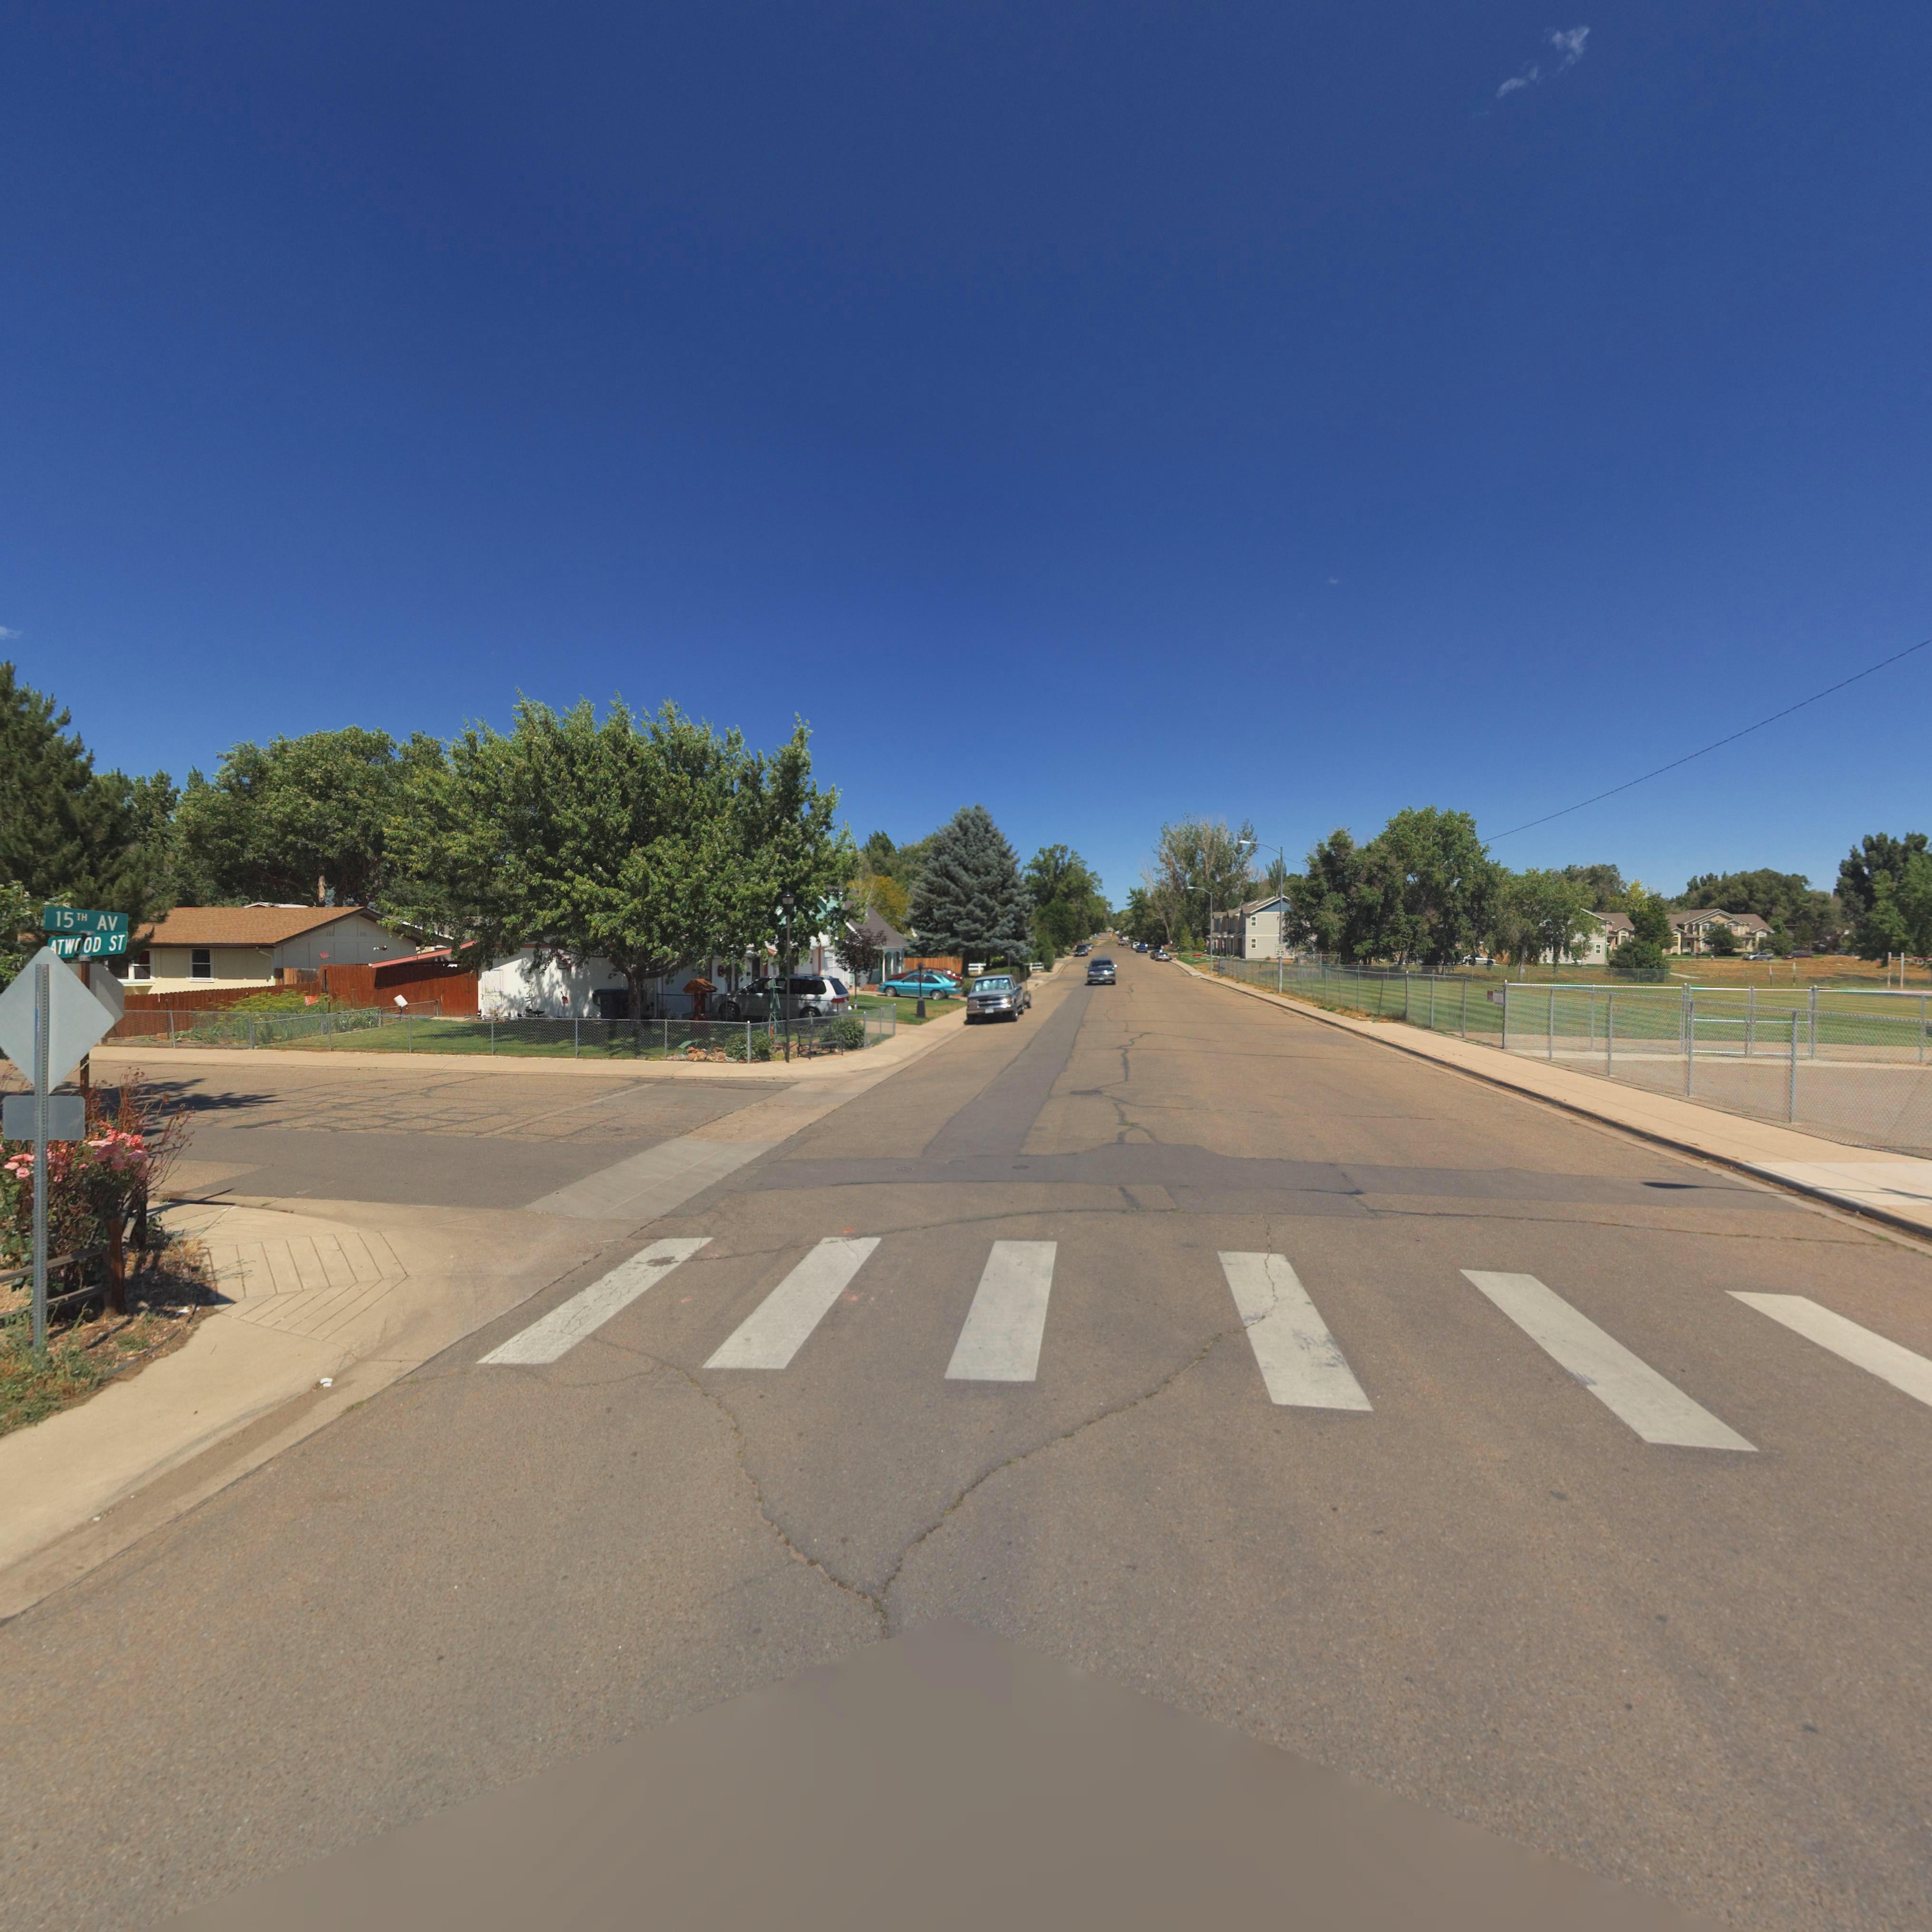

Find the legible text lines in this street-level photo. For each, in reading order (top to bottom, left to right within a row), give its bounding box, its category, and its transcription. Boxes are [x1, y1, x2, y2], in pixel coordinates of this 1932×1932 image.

[55, 910, 119, 932] StreetName: 15TH AV
[46, 934, 126, 956] StreetName: *TWOOD ST